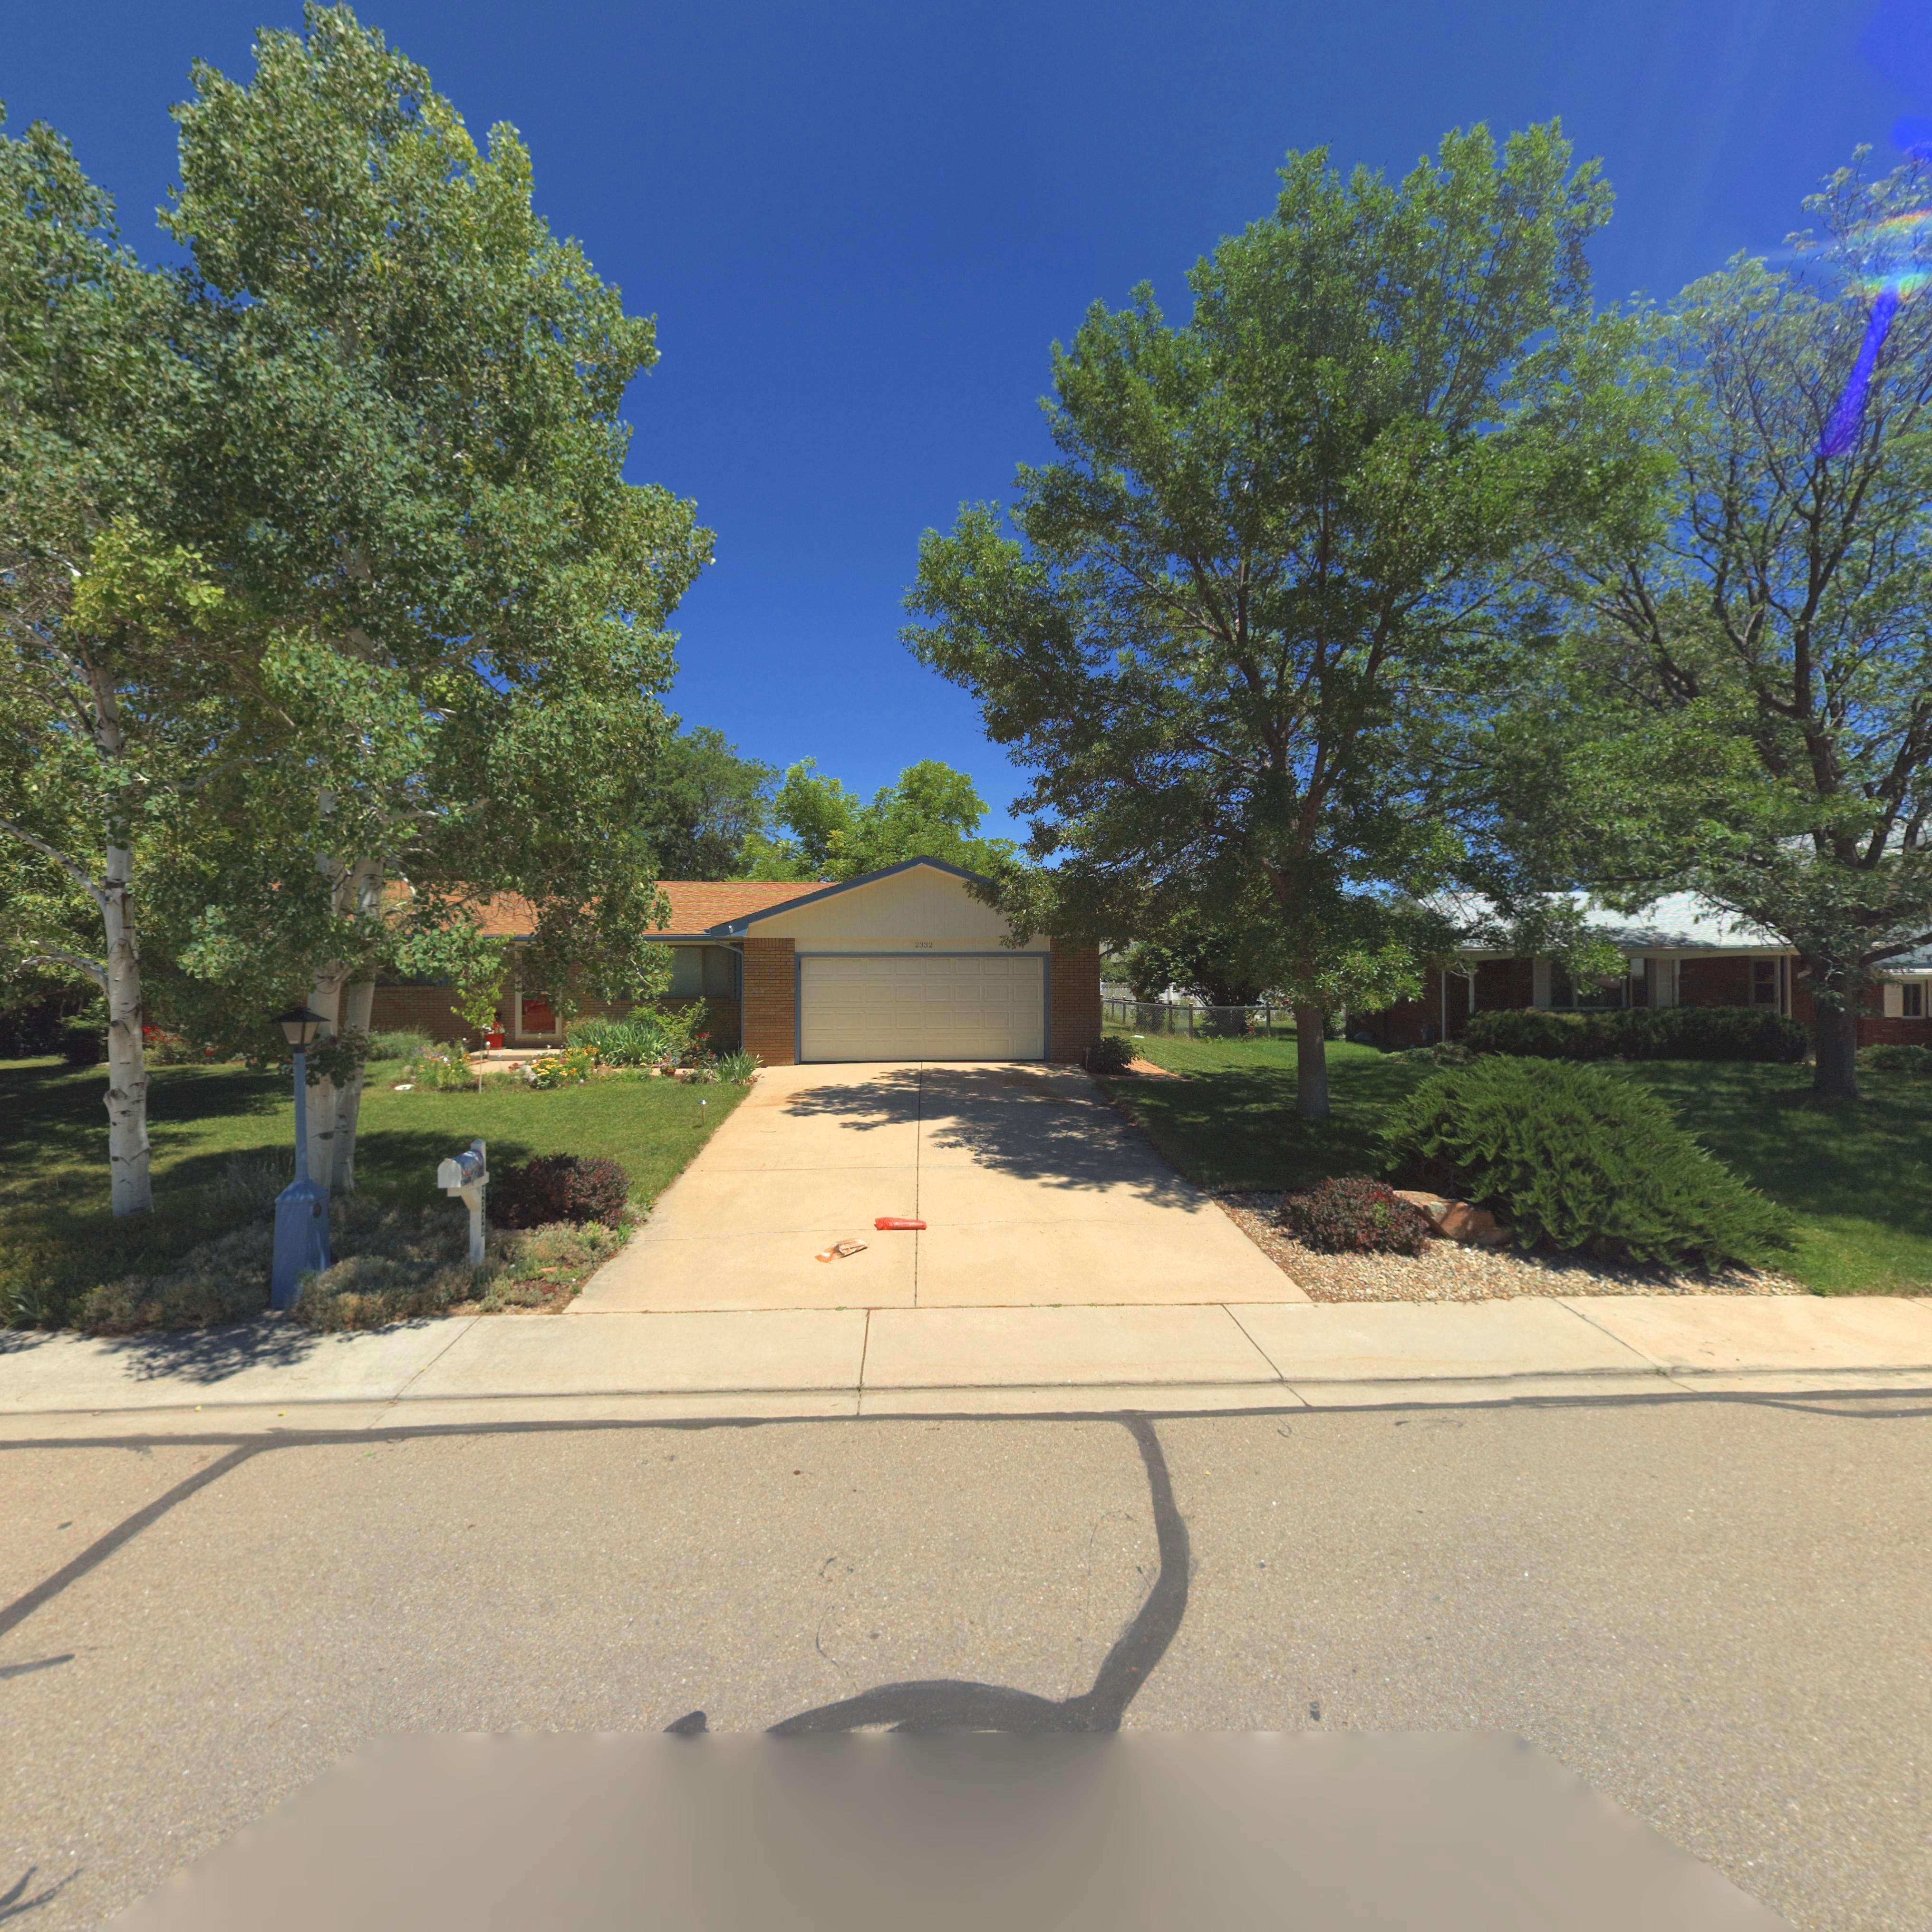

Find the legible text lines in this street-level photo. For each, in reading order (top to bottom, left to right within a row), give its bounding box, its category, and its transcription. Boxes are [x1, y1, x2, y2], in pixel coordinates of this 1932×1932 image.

[914, 941, 933, 947] StreetNumber: 2332
[481, 1185, 485, 1235] StreetNumber: 2332